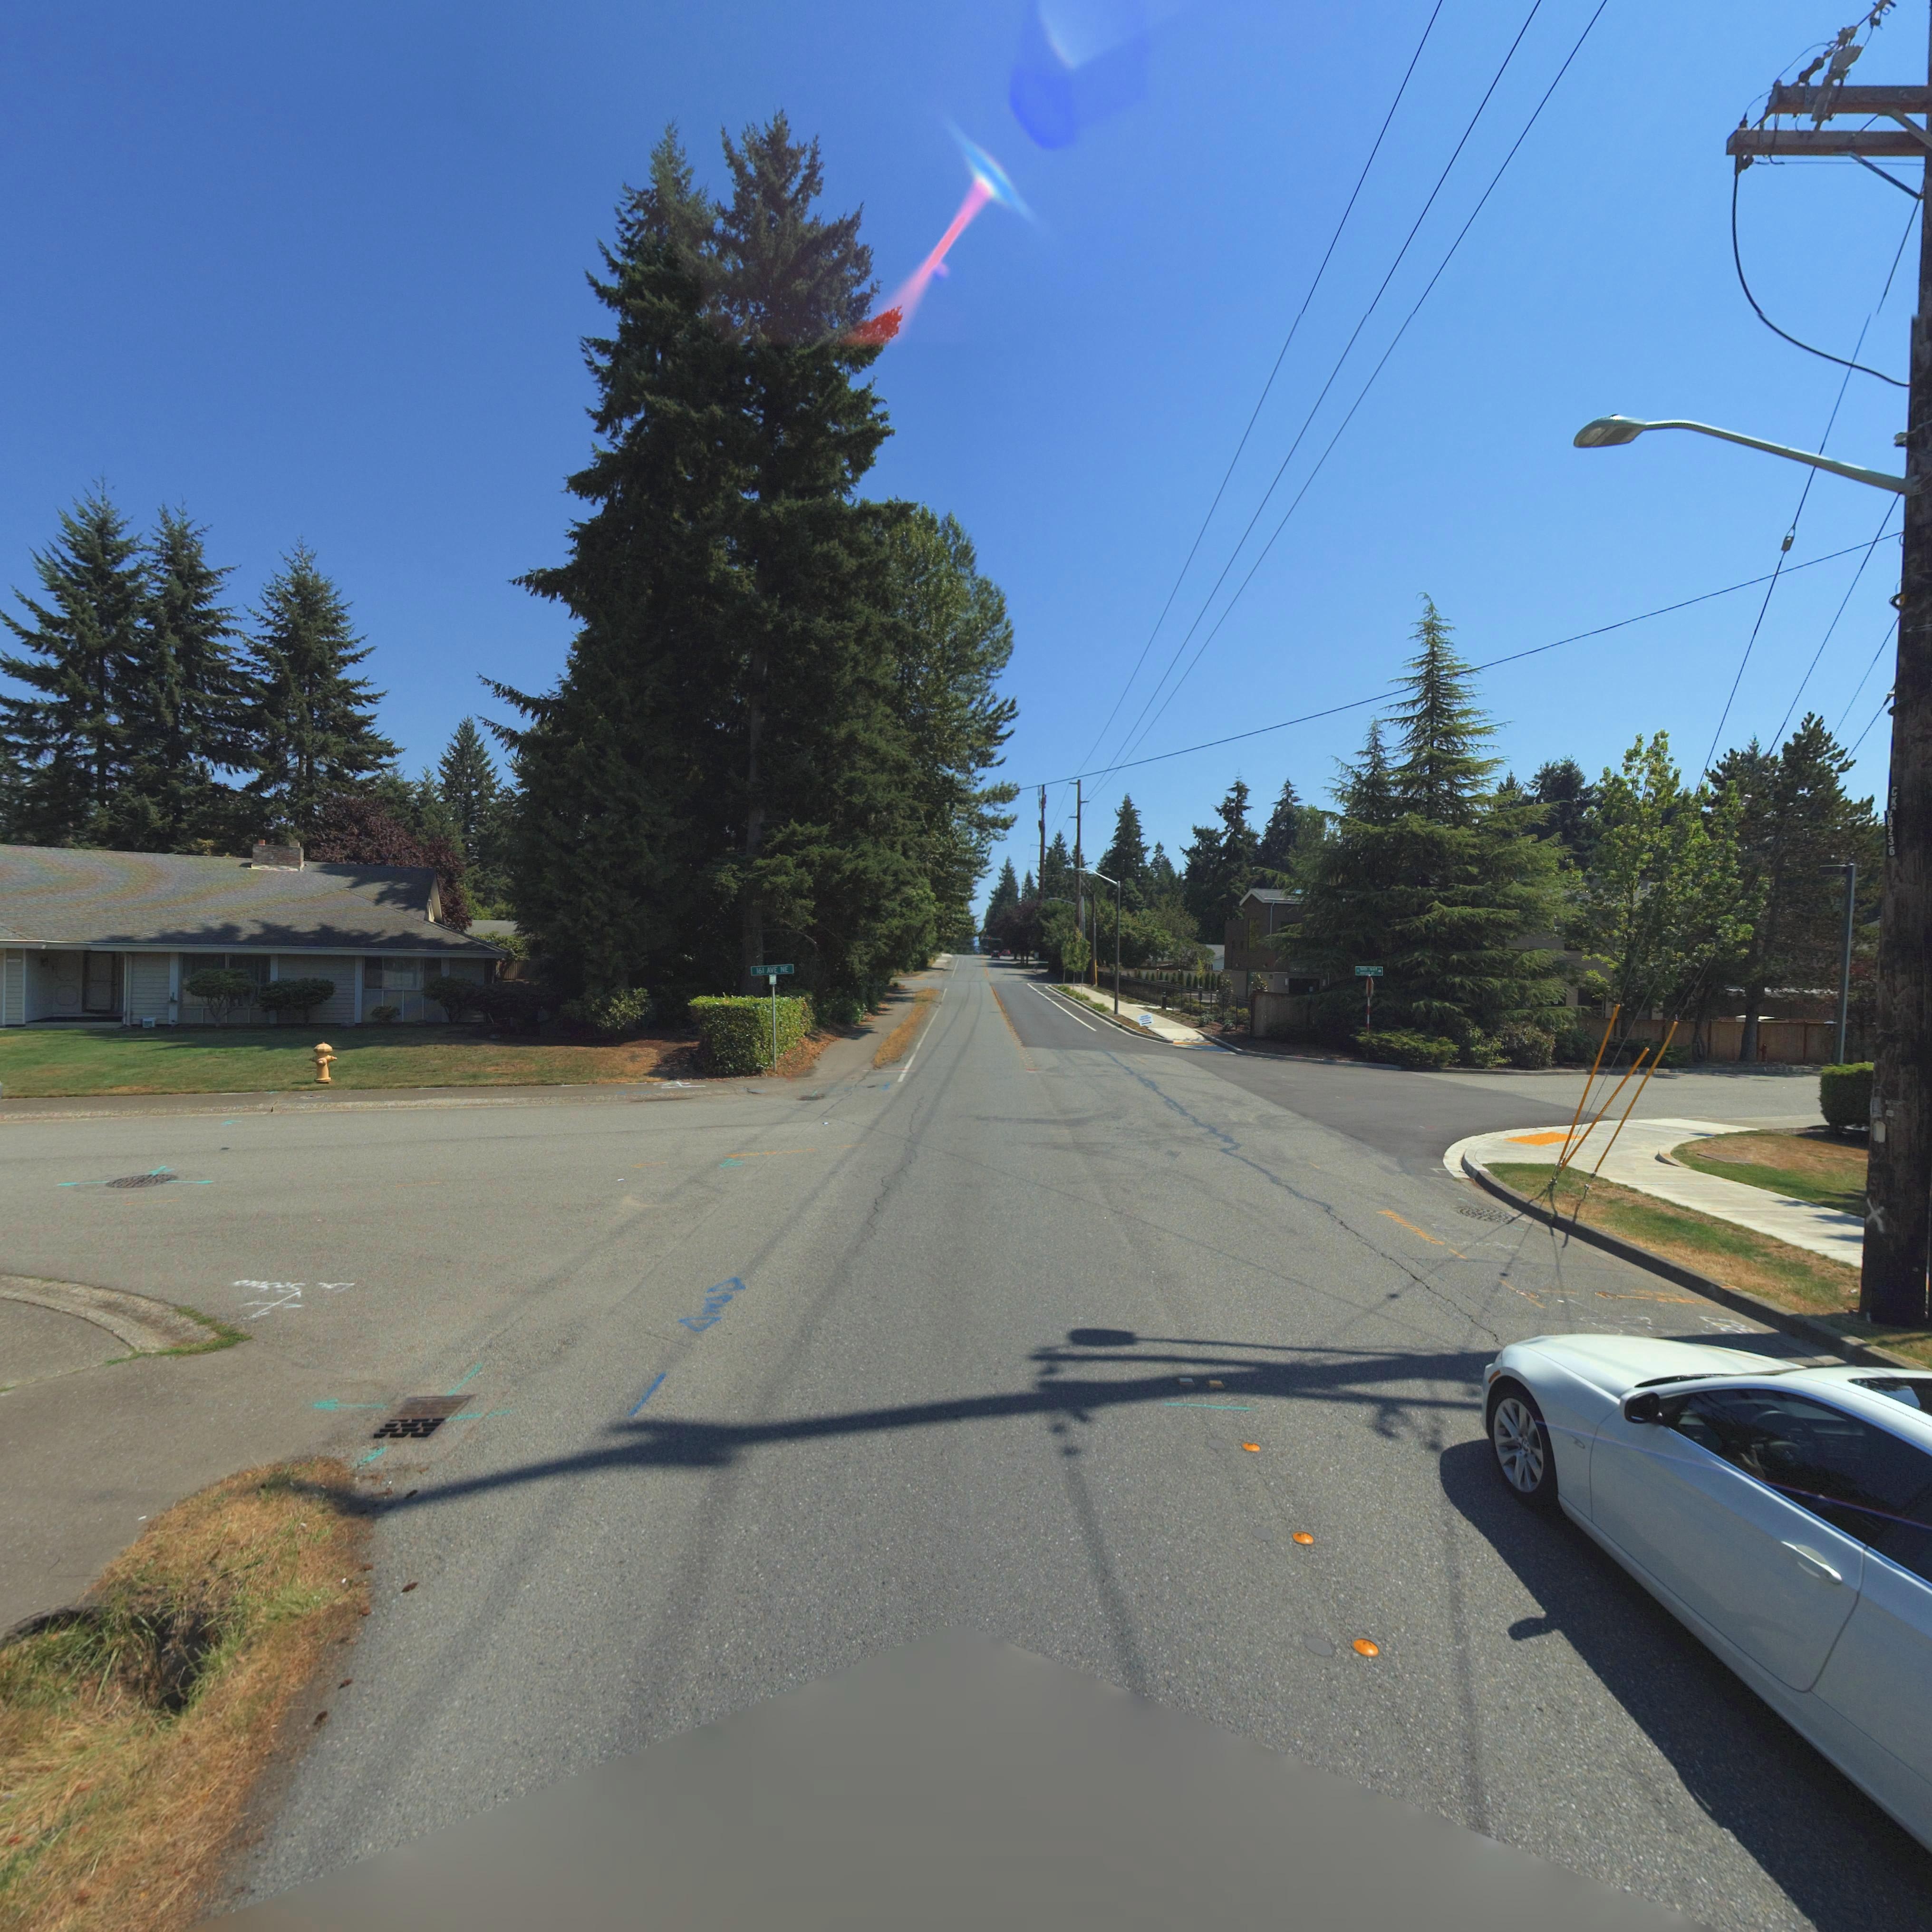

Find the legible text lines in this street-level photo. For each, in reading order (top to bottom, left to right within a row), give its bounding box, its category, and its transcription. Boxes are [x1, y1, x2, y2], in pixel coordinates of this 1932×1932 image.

[756, 966, 789, 974] StreetName: 161 AVE NE